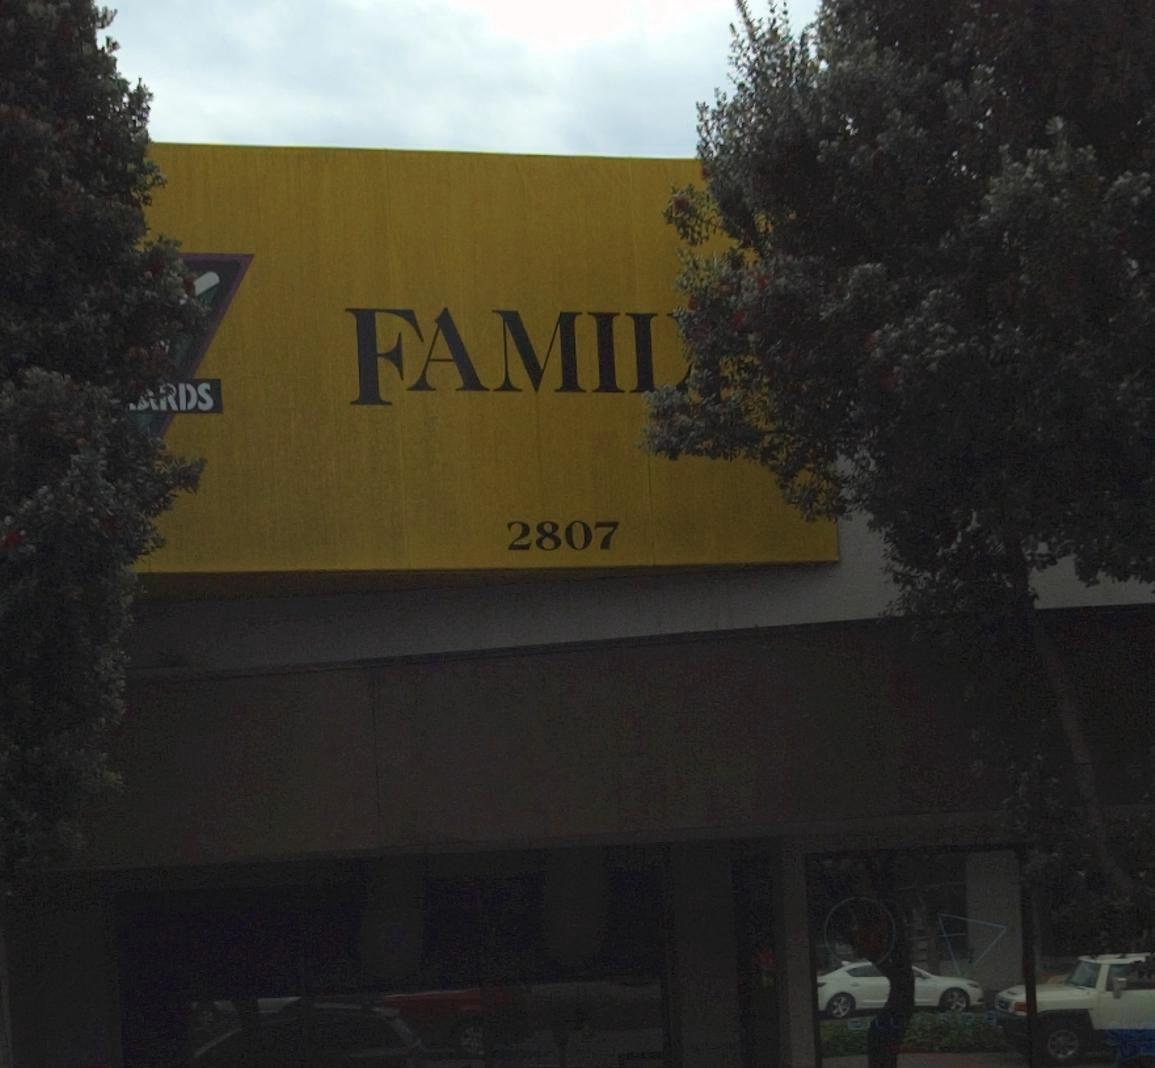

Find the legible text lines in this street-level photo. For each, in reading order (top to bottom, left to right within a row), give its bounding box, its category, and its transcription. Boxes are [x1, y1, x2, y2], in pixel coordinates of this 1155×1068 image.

[342, 299, 632, 413] BusinessName: FAMI
[175, 377, 219, 415] None: DS
[501, 516, 627, 555] StreetNumber: 2807